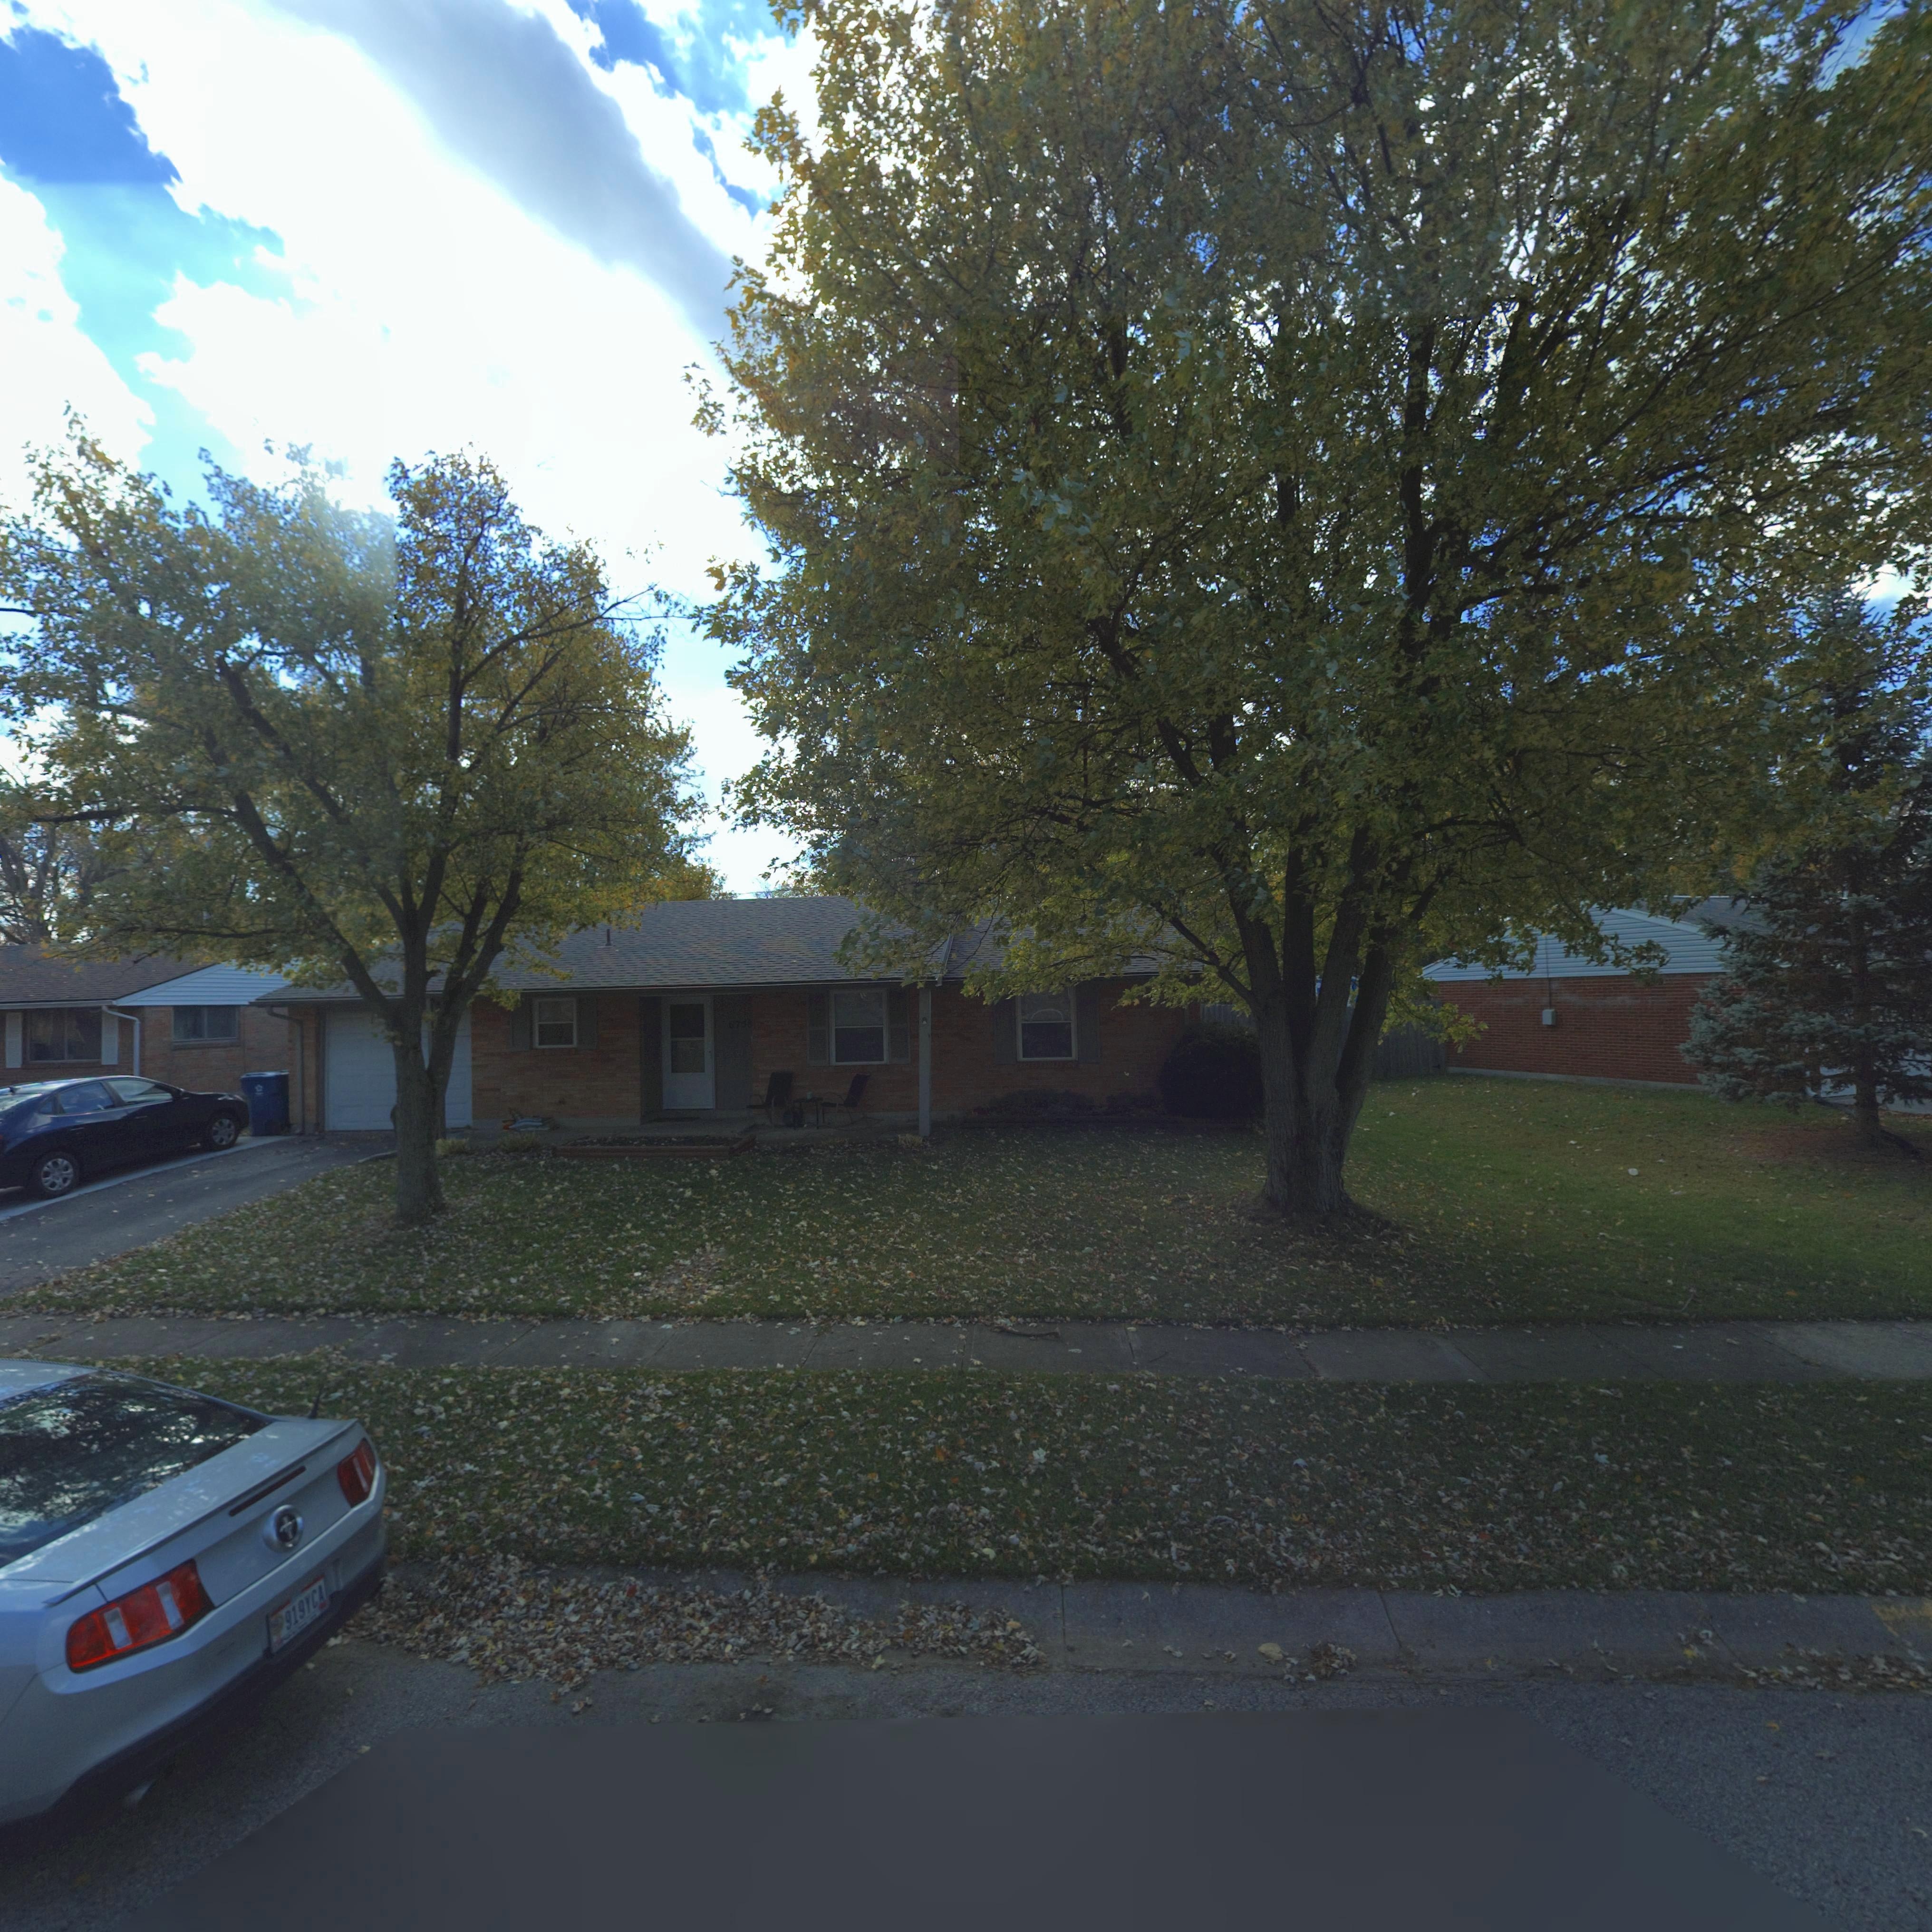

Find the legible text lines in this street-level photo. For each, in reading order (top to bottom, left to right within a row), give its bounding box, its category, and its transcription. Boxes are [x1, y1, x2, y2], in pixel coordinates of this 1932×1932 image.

[728, 1019, 753, 1029] StreetNumber: 6758